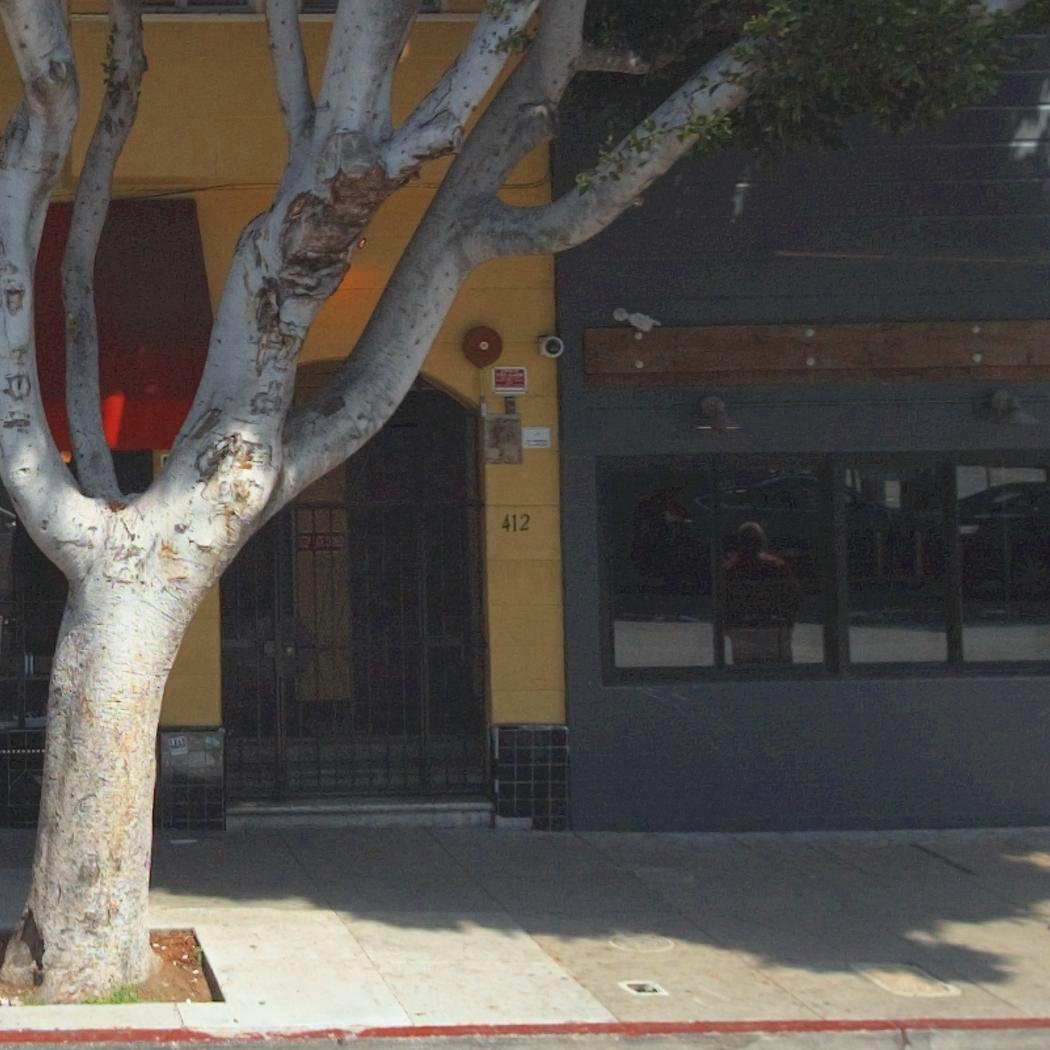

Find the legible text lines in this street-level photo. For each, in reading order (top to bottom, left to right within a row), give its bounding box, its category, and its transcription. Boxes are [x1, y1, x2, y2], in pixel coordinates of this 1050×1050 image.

[502, 512, 531, 534] StreetNumber: 412